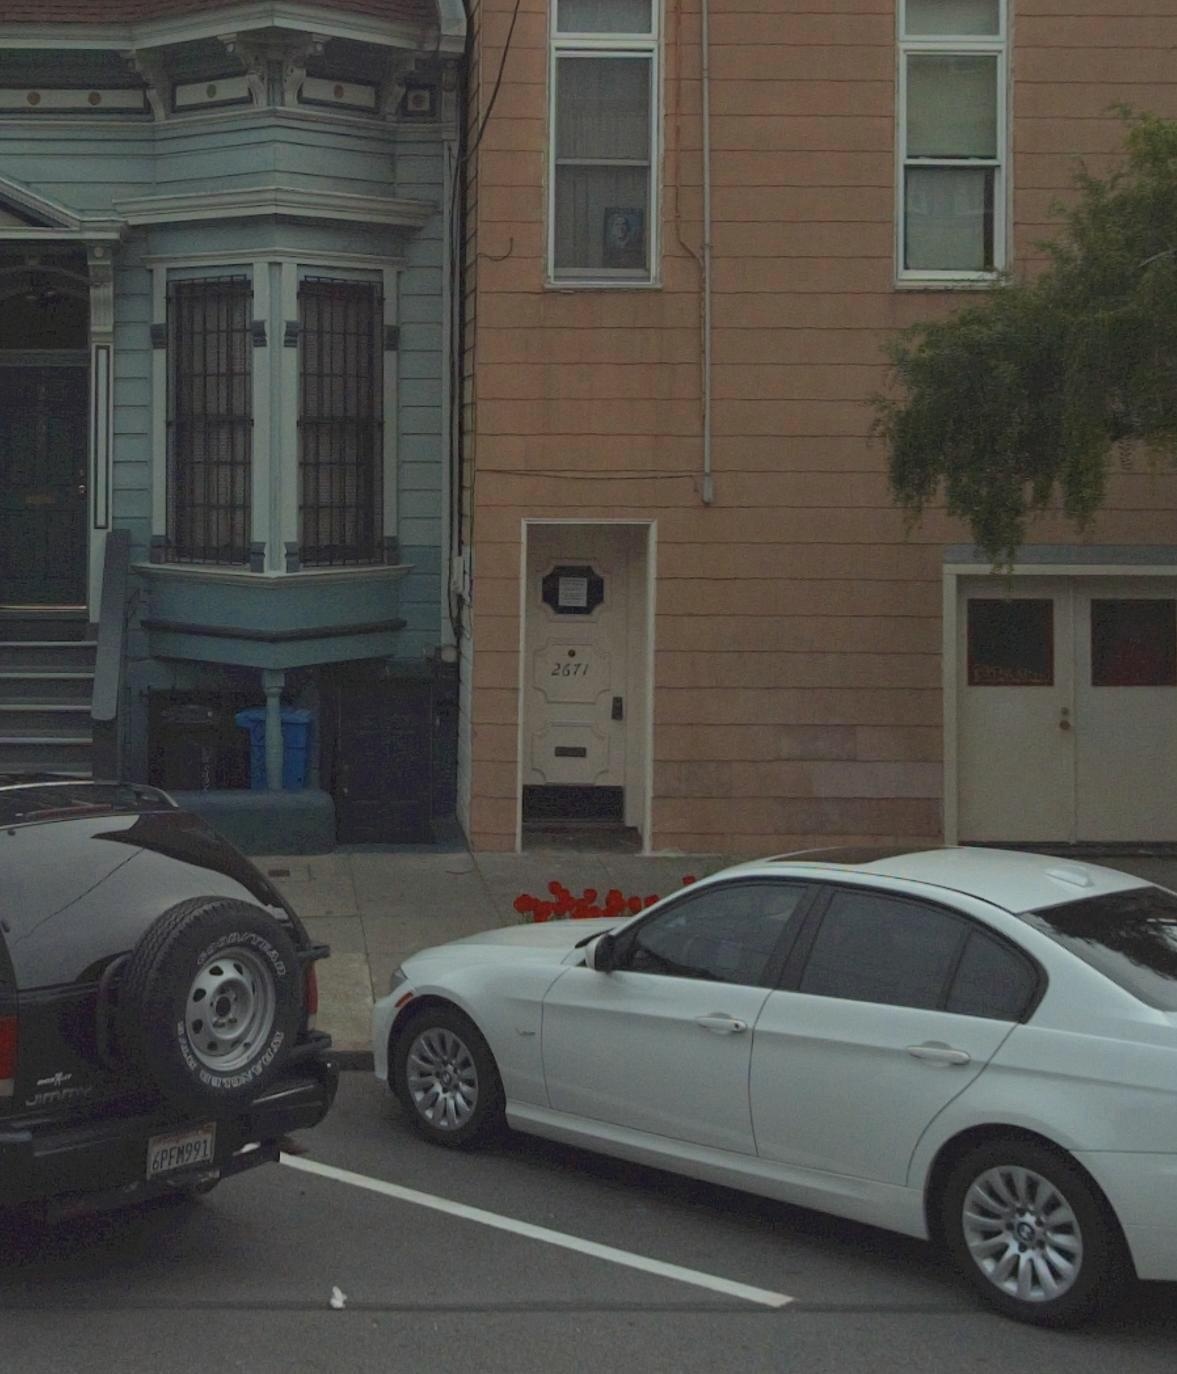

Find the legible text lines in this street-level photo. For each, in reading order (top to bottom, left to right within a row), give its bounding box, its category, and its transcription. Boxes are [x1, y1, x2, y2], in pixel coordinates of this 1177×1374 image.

[549, 661, 590, 678] StreetNumber: 2671